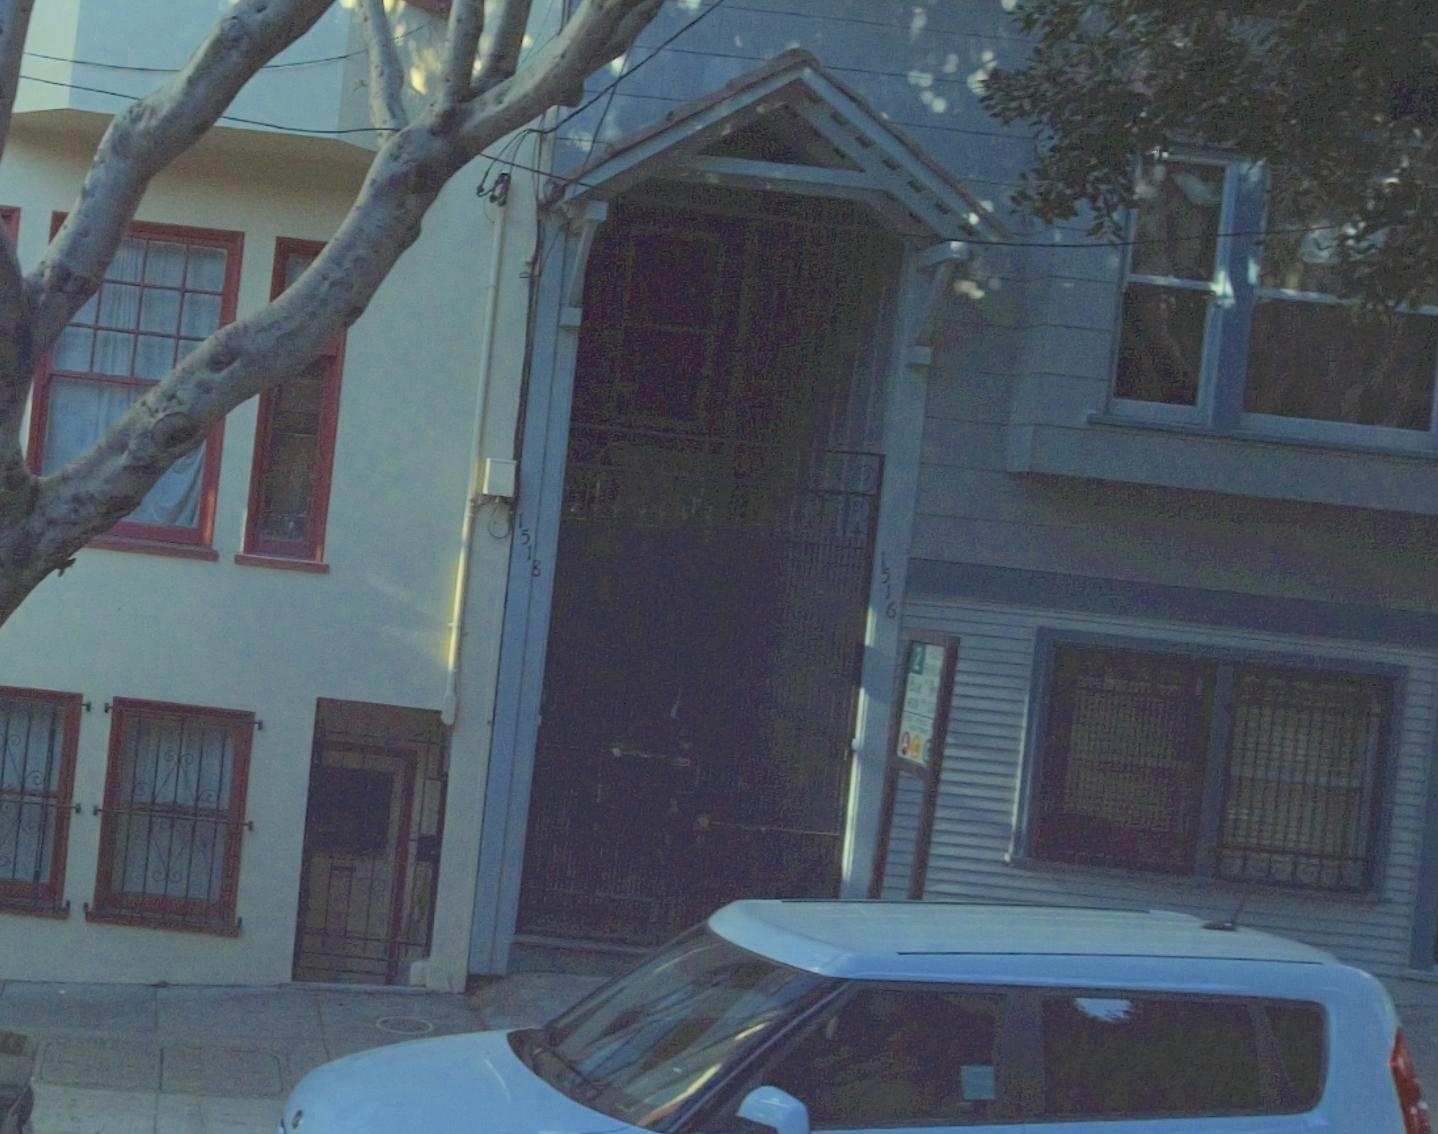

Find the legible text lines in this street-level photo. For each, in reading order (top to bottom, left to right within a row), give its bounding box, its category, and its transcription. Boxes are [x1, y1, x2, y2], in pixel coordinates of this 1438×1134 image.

[516, 511, 543, 578] StreetNumber: 1518
[878, 549, 898, 620] StreetNumber: 1516
[910, 645, 923, 671] None: 2
[898, 732, 921, 759] None: A C